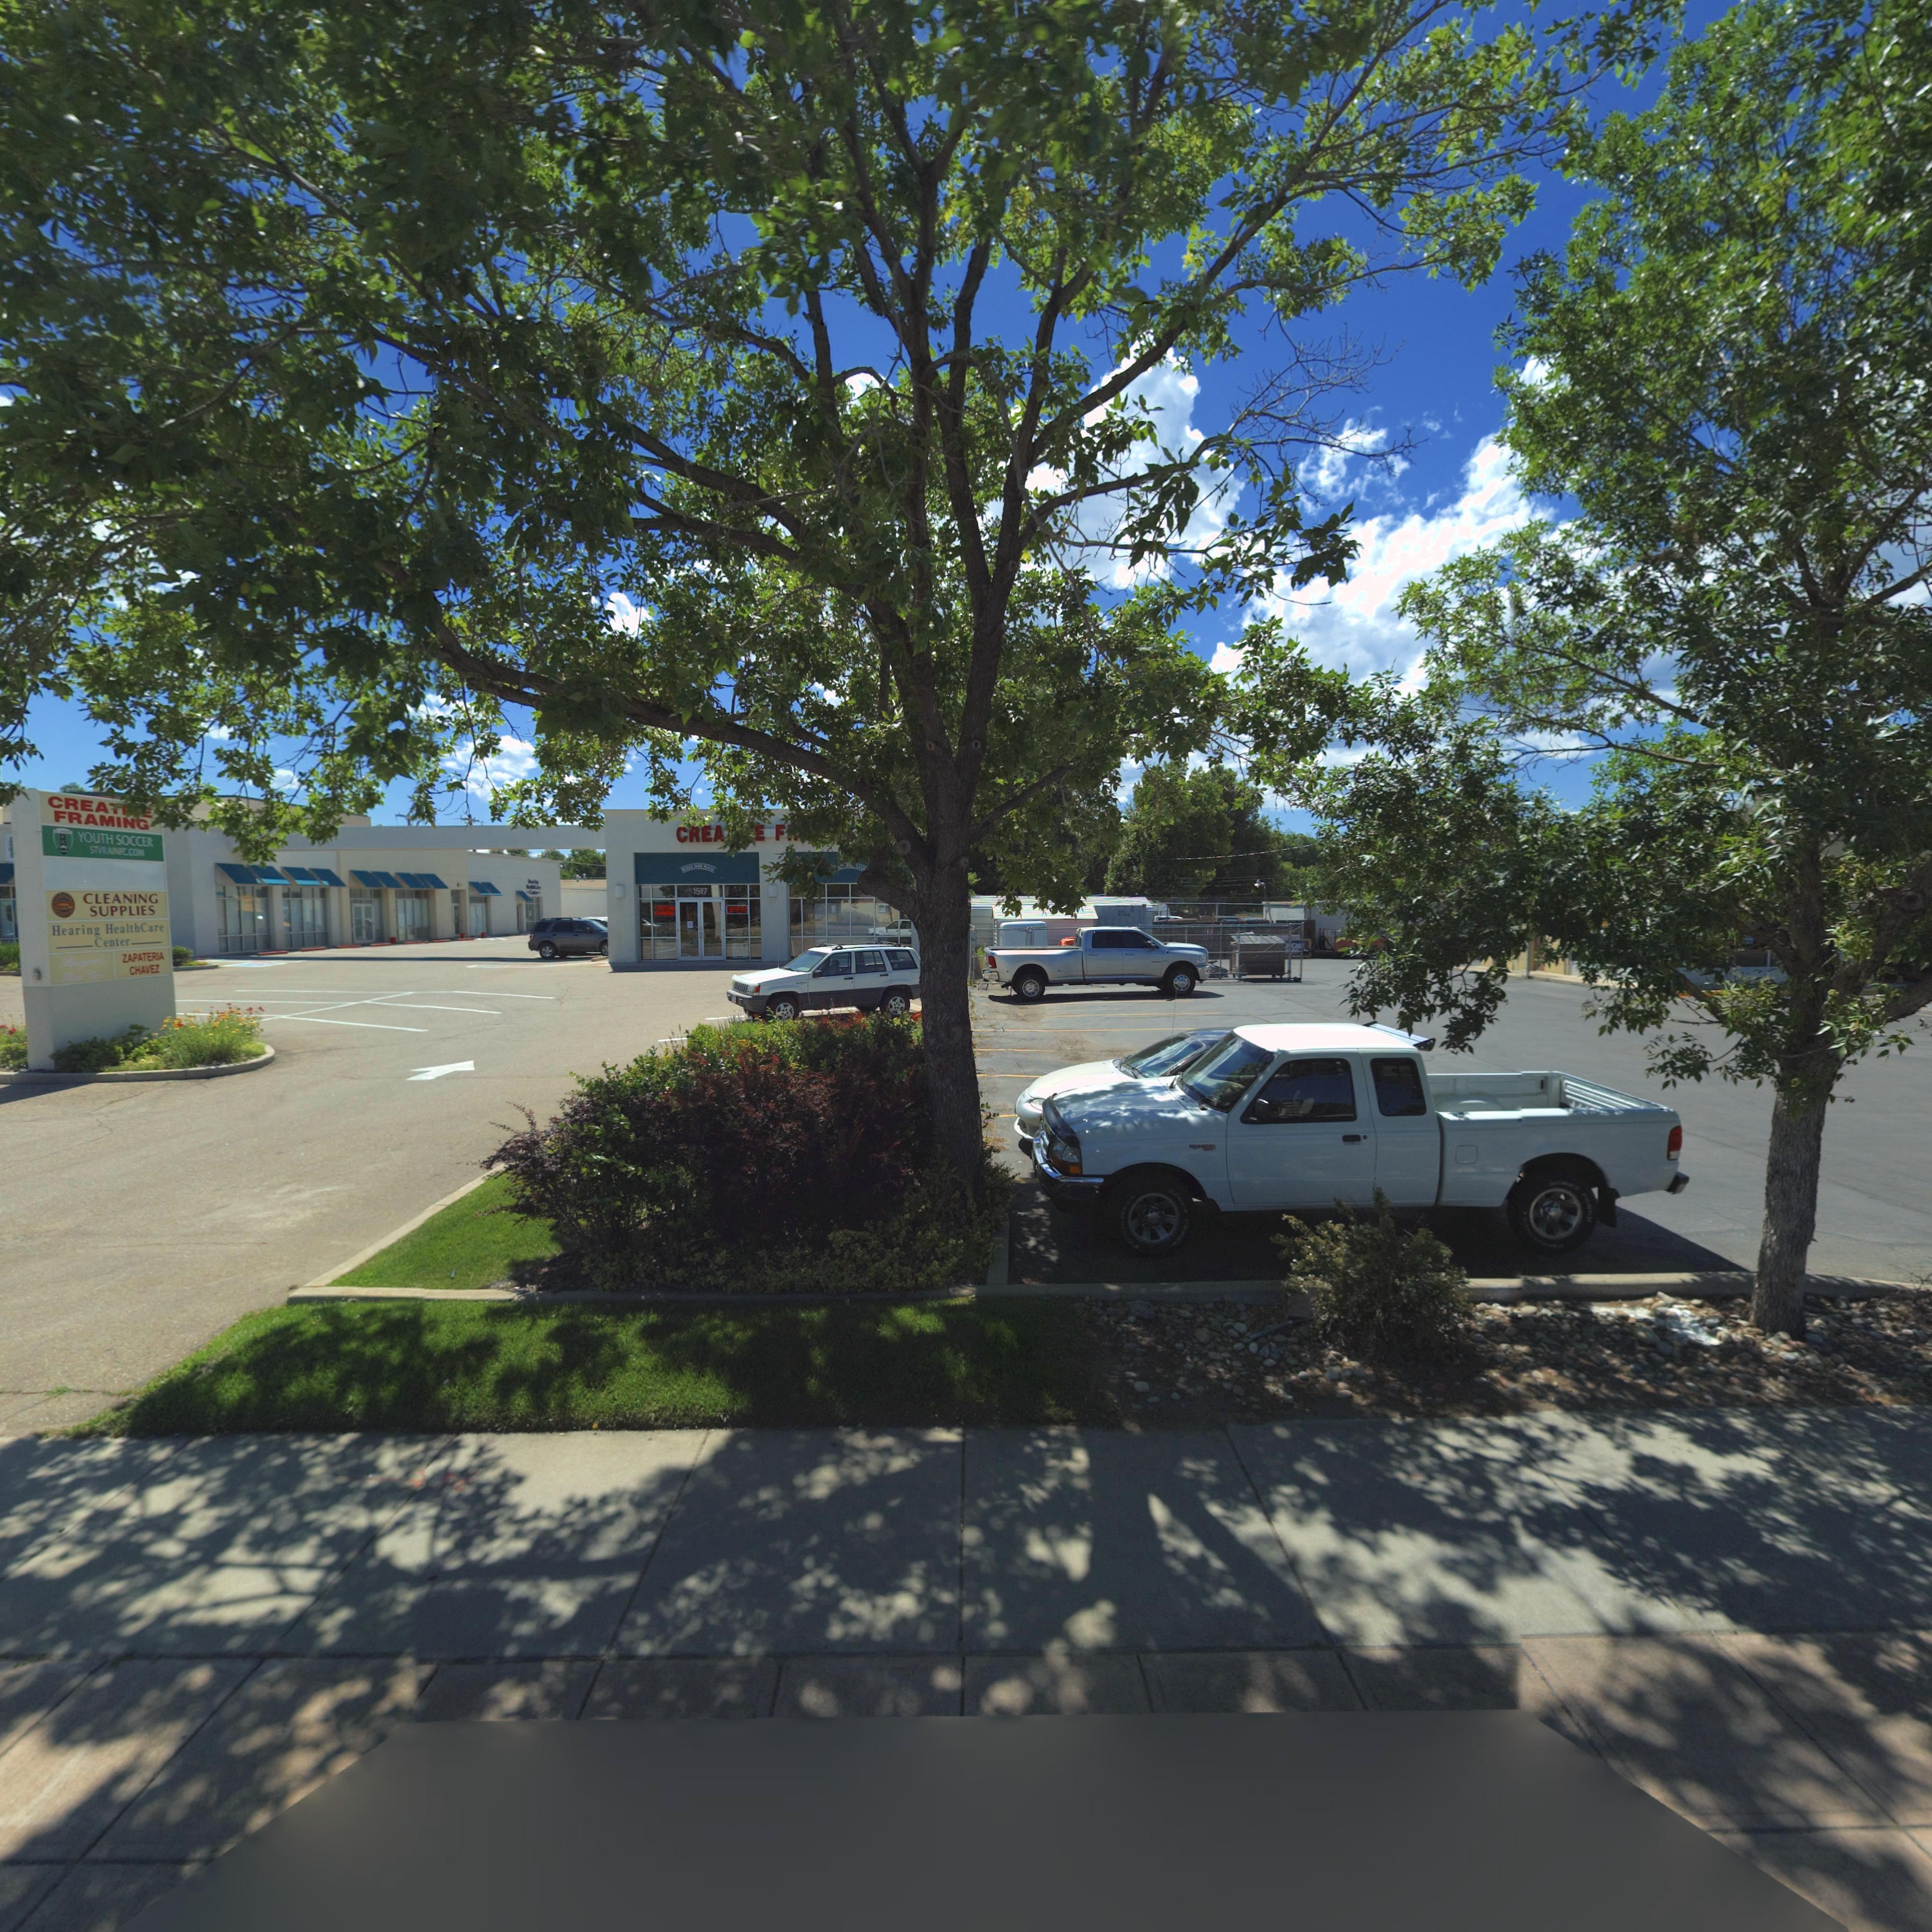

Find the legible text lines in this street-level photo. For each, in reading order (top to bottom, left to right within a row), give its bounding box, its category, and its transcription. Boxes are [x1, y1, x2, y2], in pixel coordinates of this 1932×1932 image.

[47, 794, 153, 819] BusinessName: CREATIVE
[54, 810, 149, 831] BusinessName: FRAMING
[676, 823, 800, 843] BusinessName: CREA***E FR
[528, 879, 539, 884] BusinessName: B*****
[526, 884, 541, 889] BusinessName: *****hC***
[529, 890, 541, 894] BusinessName: Cen***
[692, 887, 707, 895] StreetNumber: 1517
[52, 922, 164, 937] BusinessName: Hearing HealthCare
[94, 937, 131, 947] BusinessName: Center
[122, 952, 165, 963] BusinessName: ZAPATERIA
[129, 964, 160, 976] BusinessName: CHAVEZ